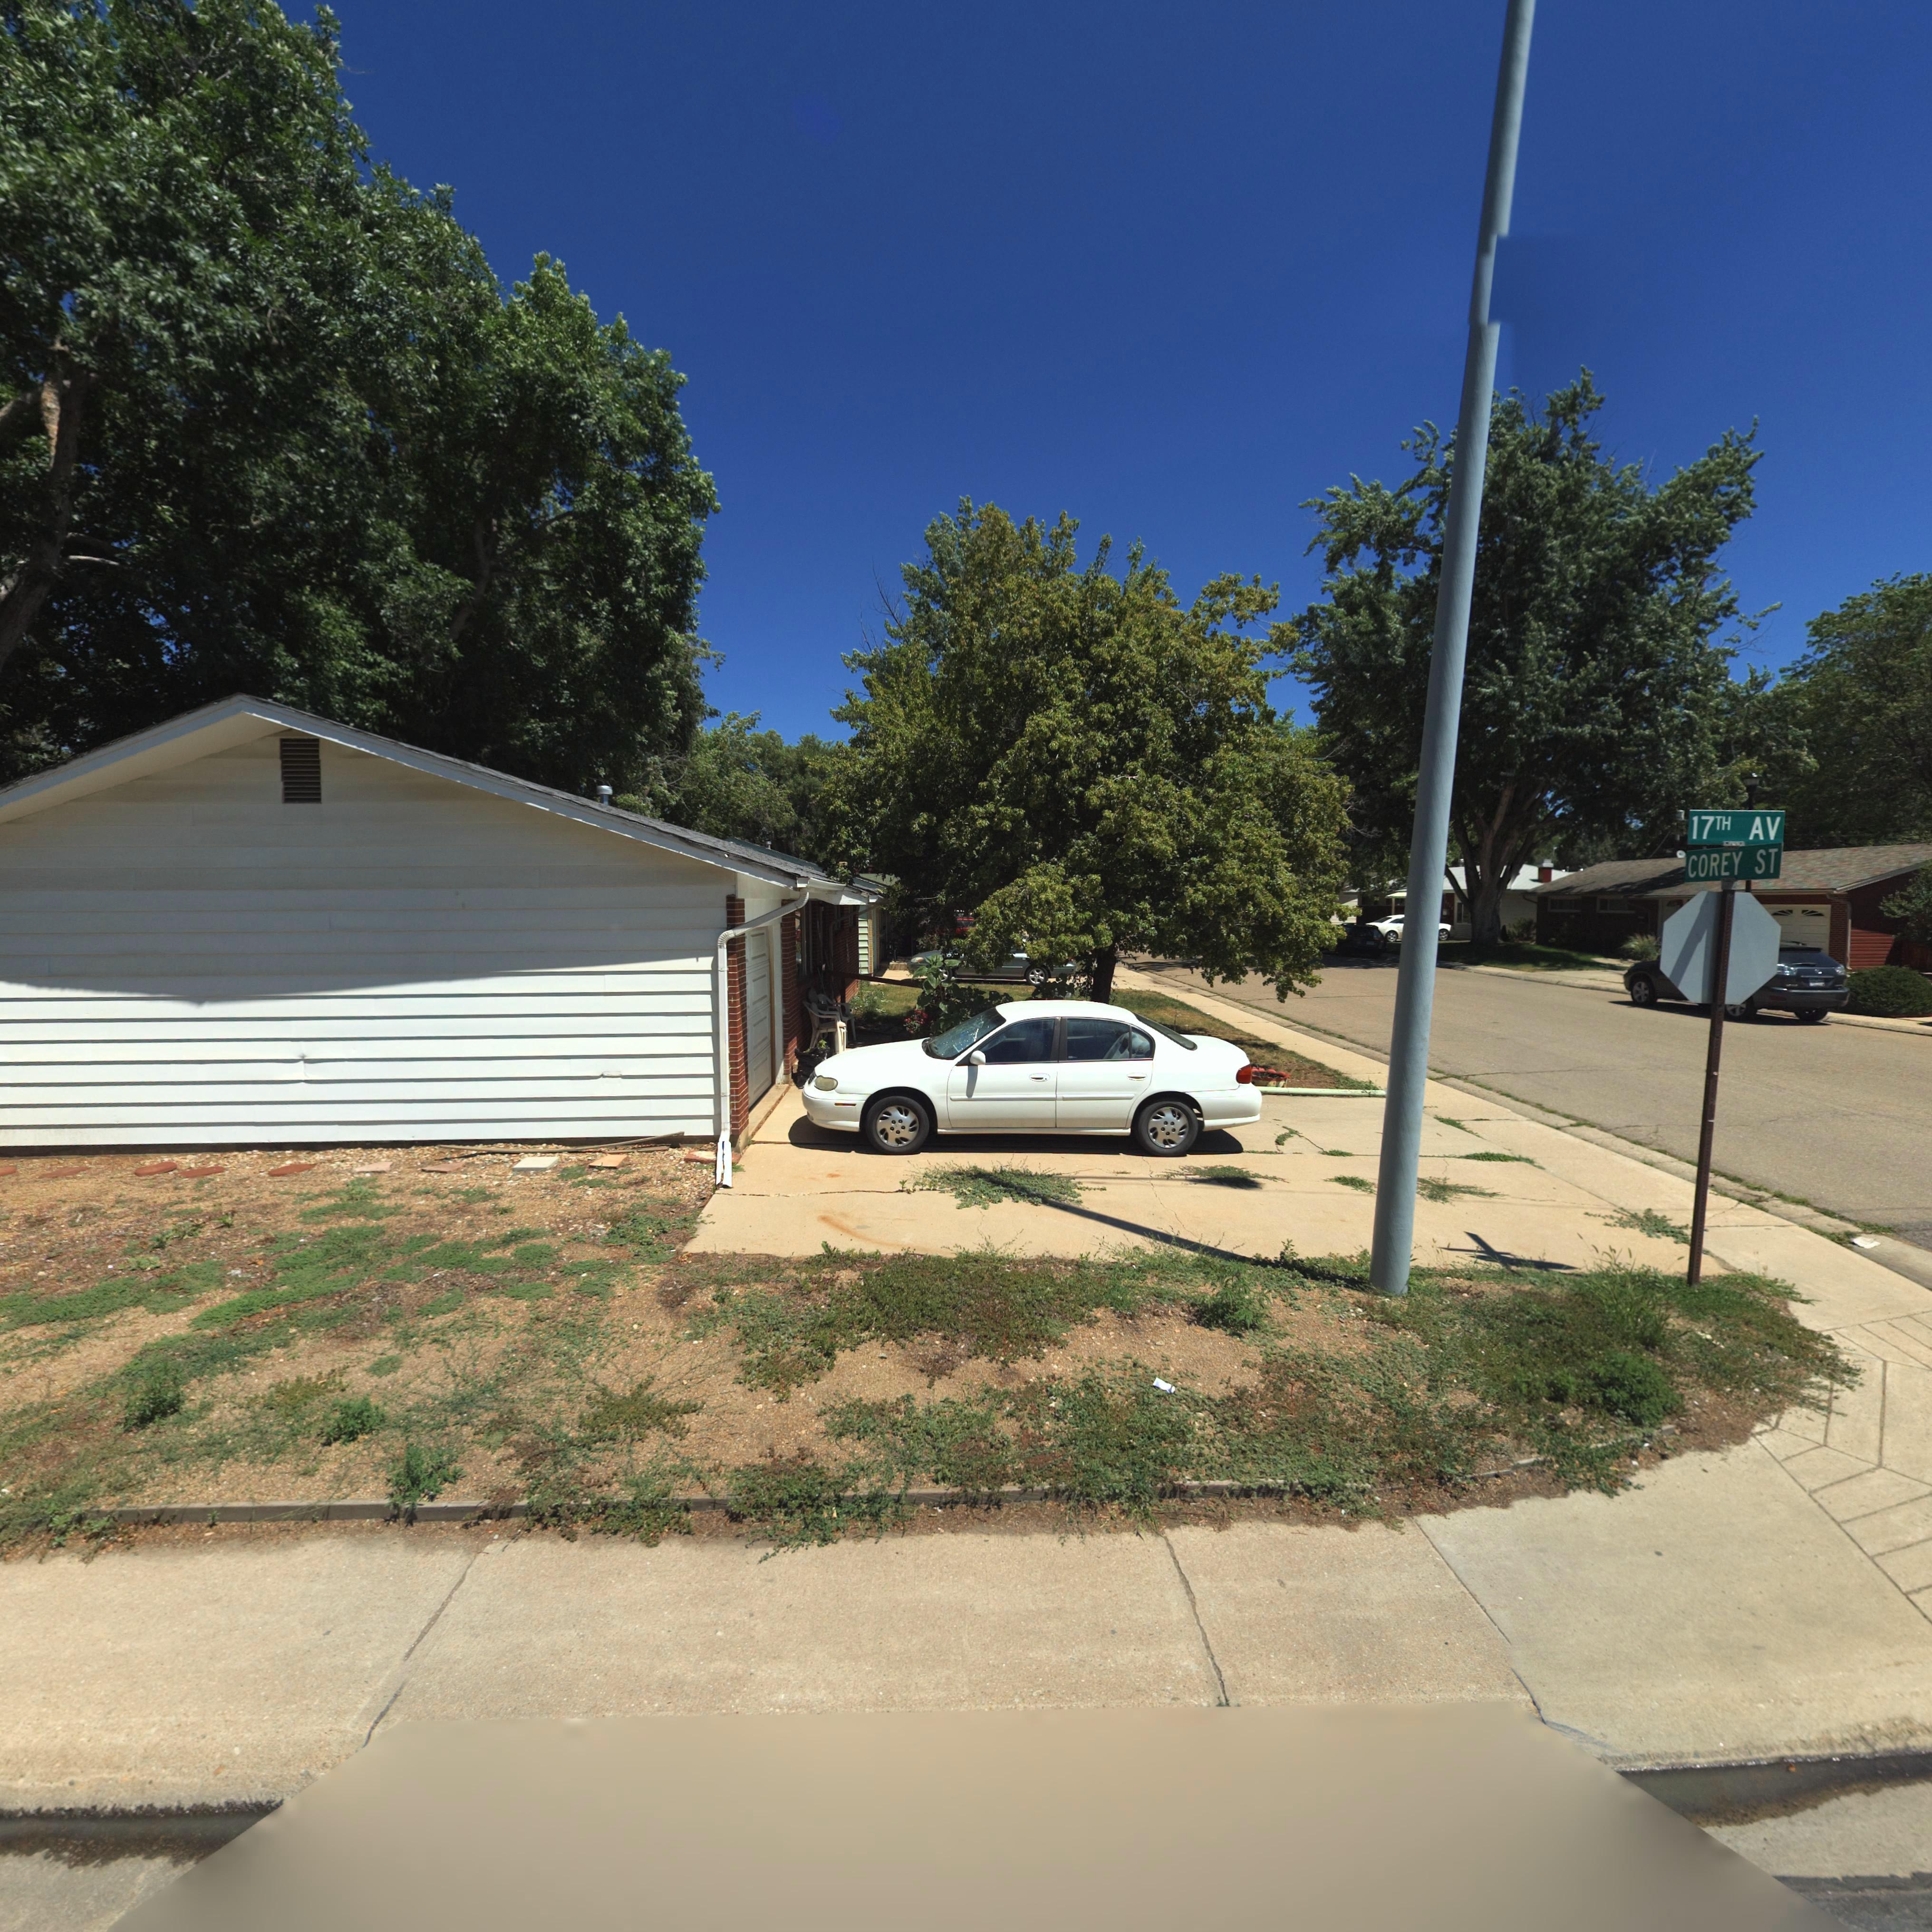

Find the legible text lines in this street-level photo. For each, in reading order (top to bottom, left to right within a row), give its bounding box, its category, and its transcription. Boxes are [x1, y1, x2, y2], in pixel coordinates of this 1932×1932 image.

[1691, 814, 1782, 841] StreetName: 17TH AV
[1687, 847, 1778, 878] StreetName: COREY ST